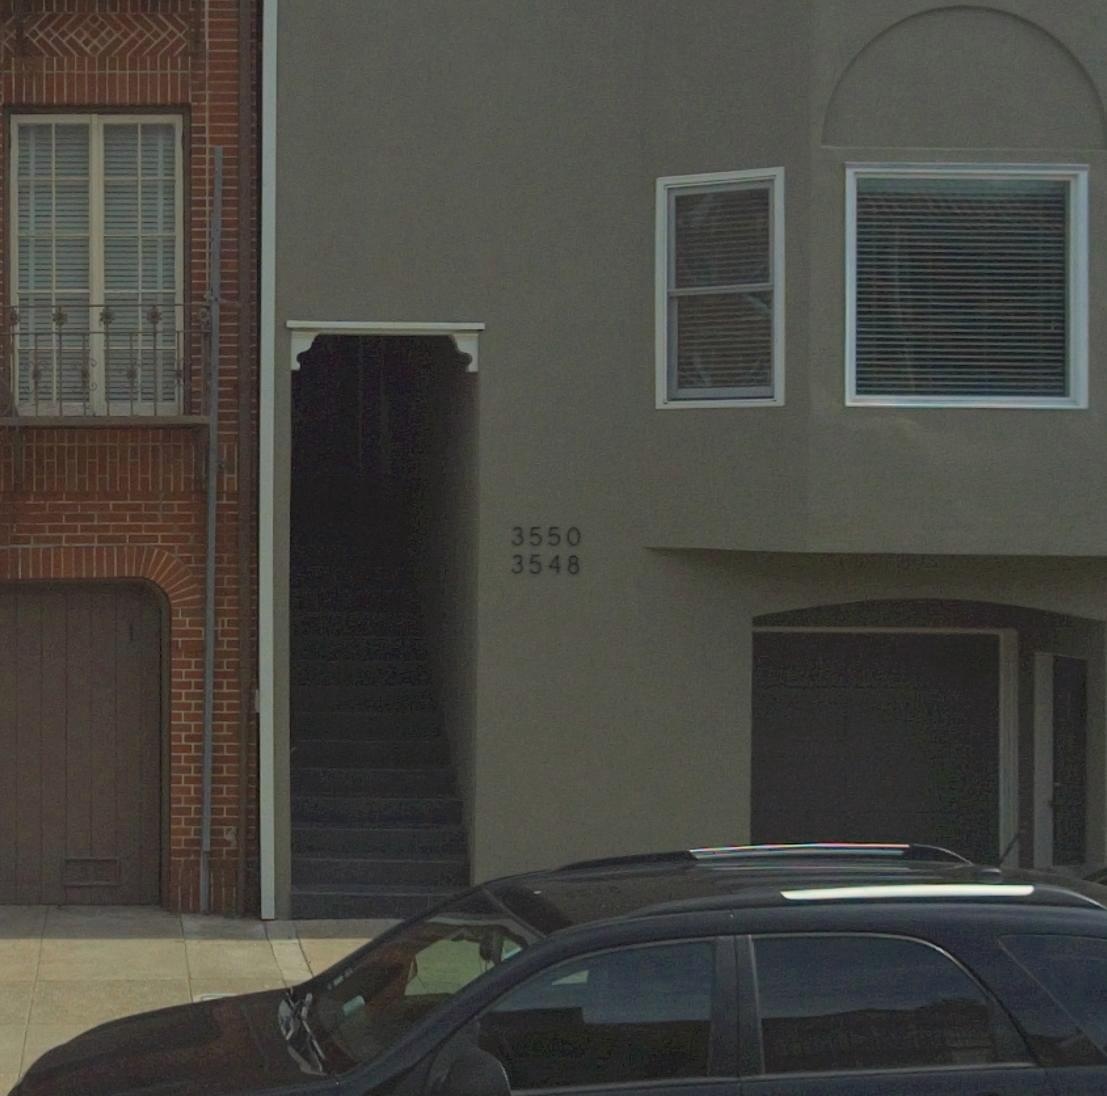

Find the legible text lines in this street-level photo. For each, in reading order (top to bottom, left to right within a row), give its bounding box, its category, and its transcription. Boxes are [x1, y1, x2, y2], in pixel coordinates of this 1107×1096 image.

[508, 524, 584, 549] StreetNumber: 3550
[508, 552, 583, 577] StreetNumber: 3548